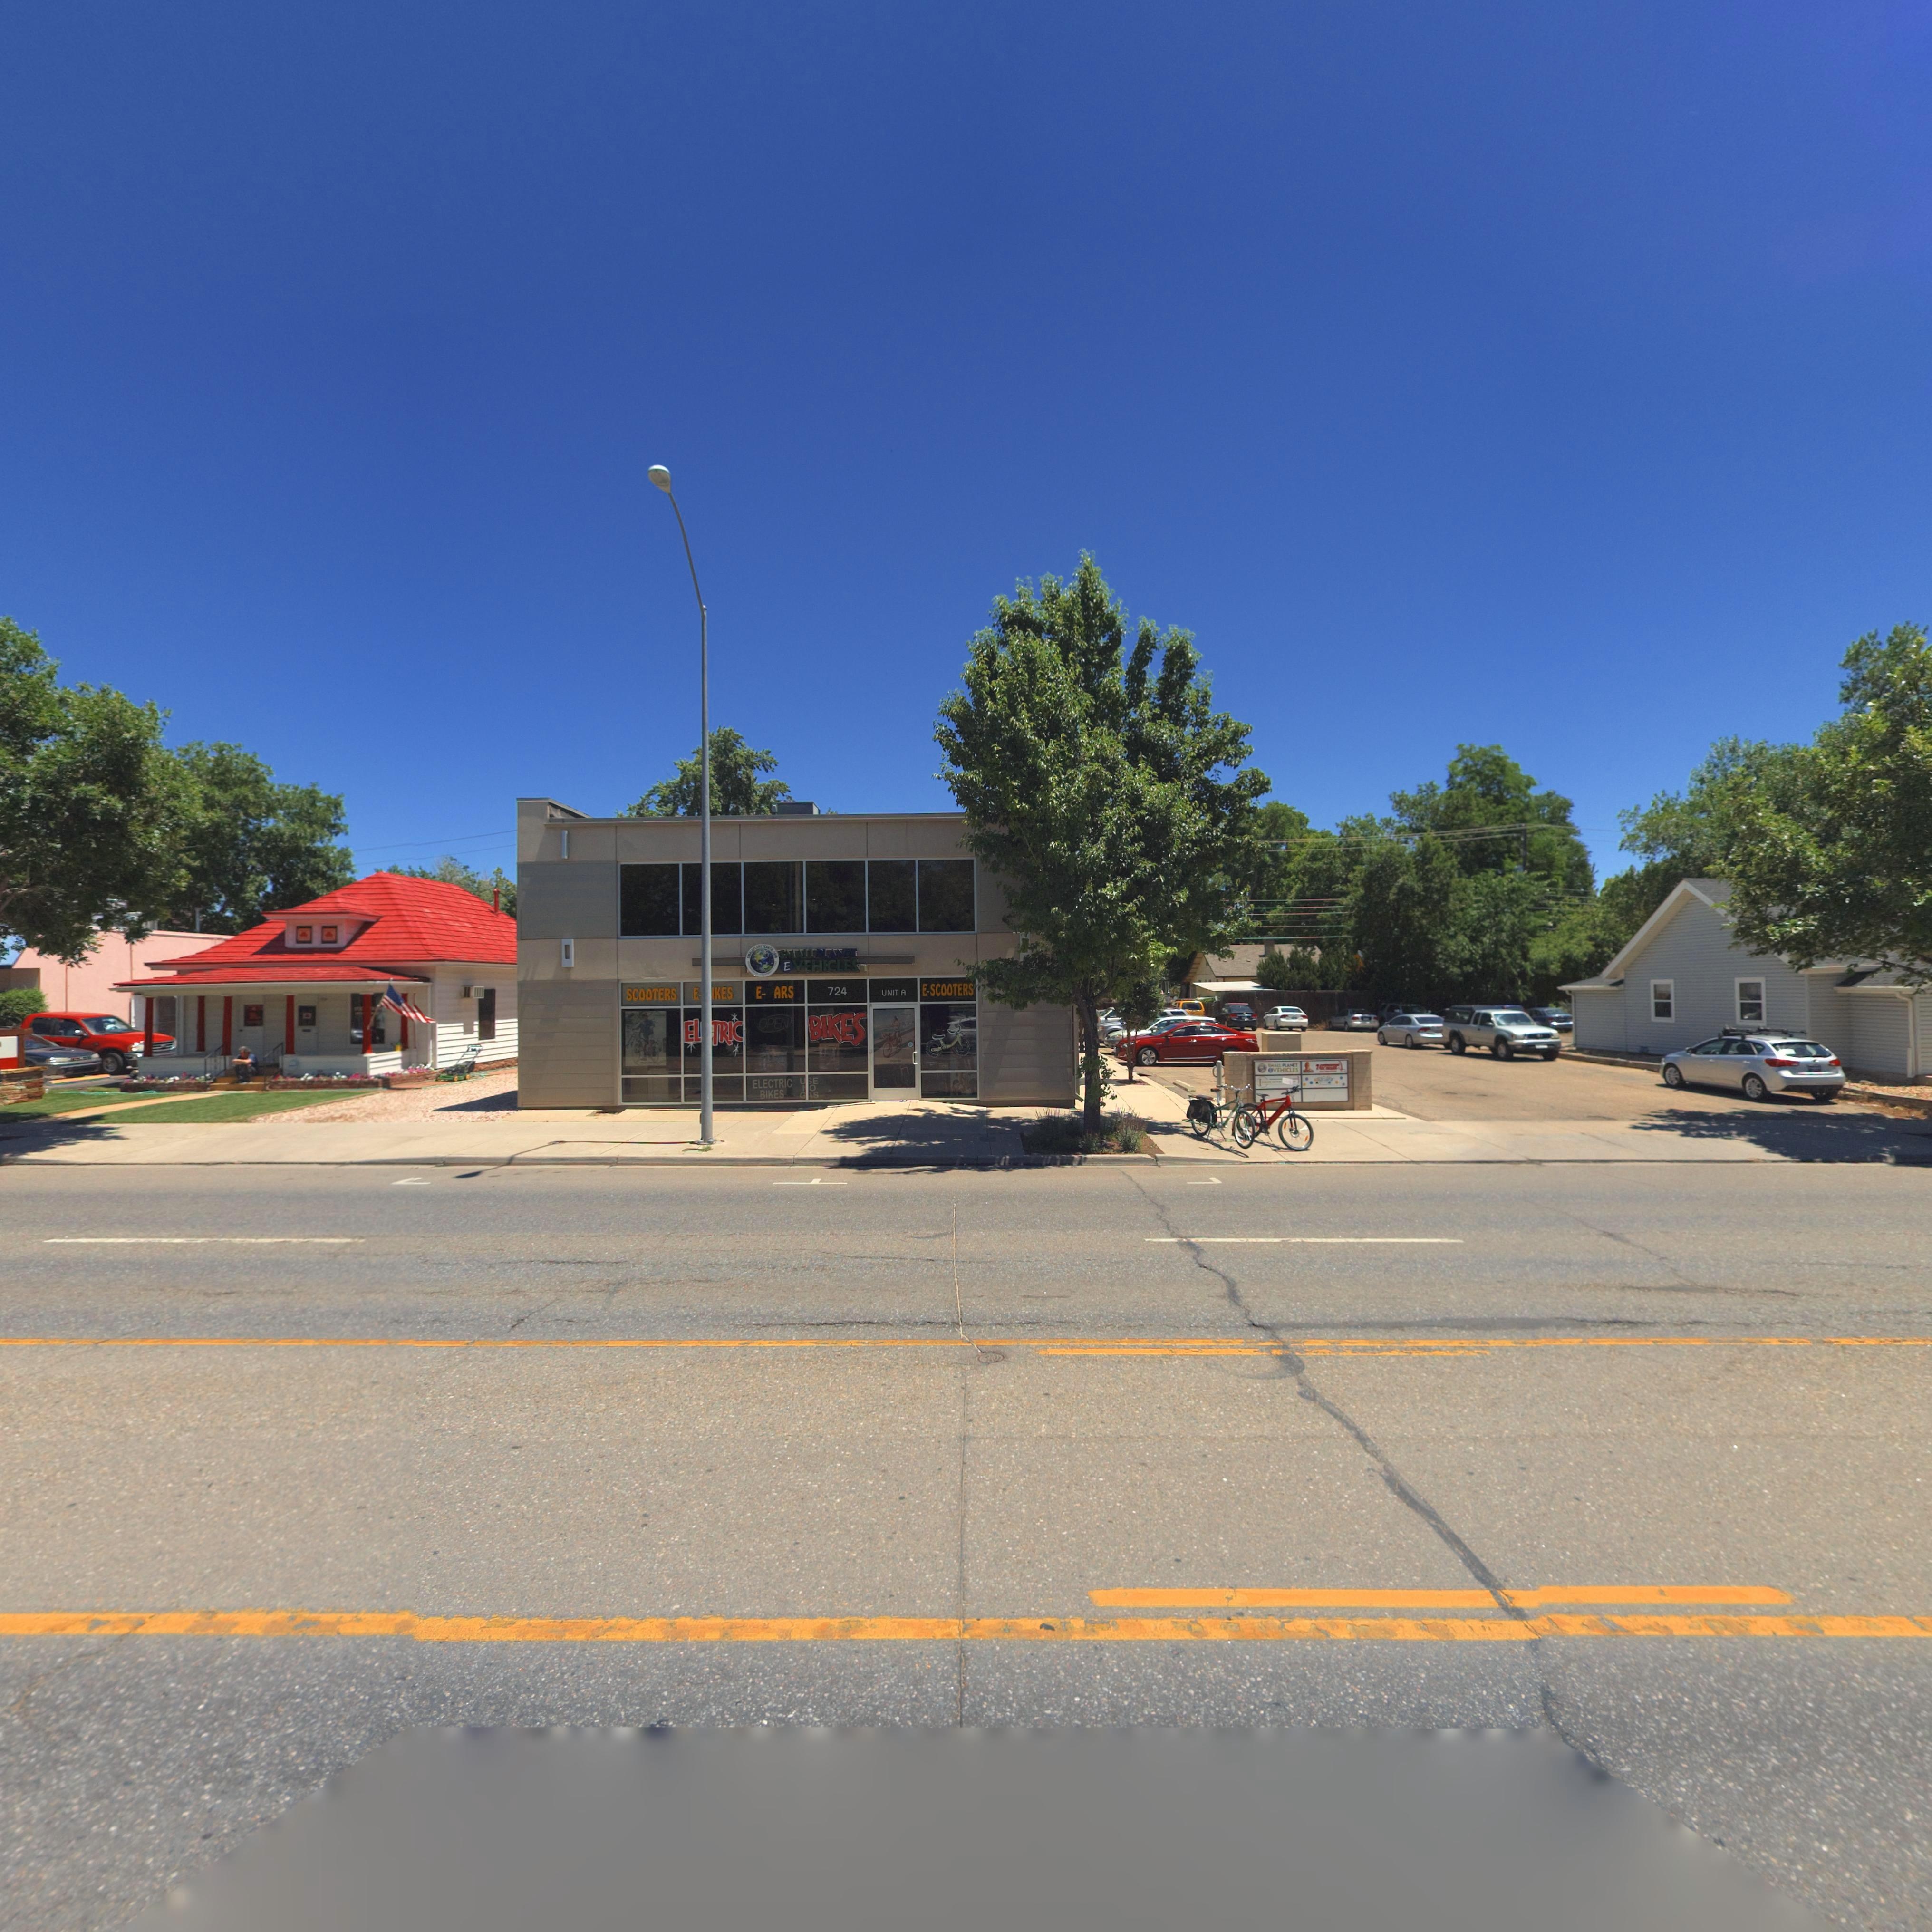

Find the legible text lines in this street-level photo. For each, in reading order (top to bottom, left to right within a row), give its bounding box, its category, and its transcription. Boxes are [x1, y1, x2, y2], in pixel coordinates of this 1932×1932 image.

[779, 948, 858, 959] BusinessName: SMALL PLANET
[783, 958, 859, 973] BusinessName: E VEHICLES
[827, 986, 847, 995] StreetNumber: 724
[881, 989, 906, 996] SecondaryUnitDesignator: UNIT A
[1267, 1063, 1297, 1067] BusinessName: SMALL PLANET
[1269, 1067, 1298, 1072] BusinessName: E VEHICLES